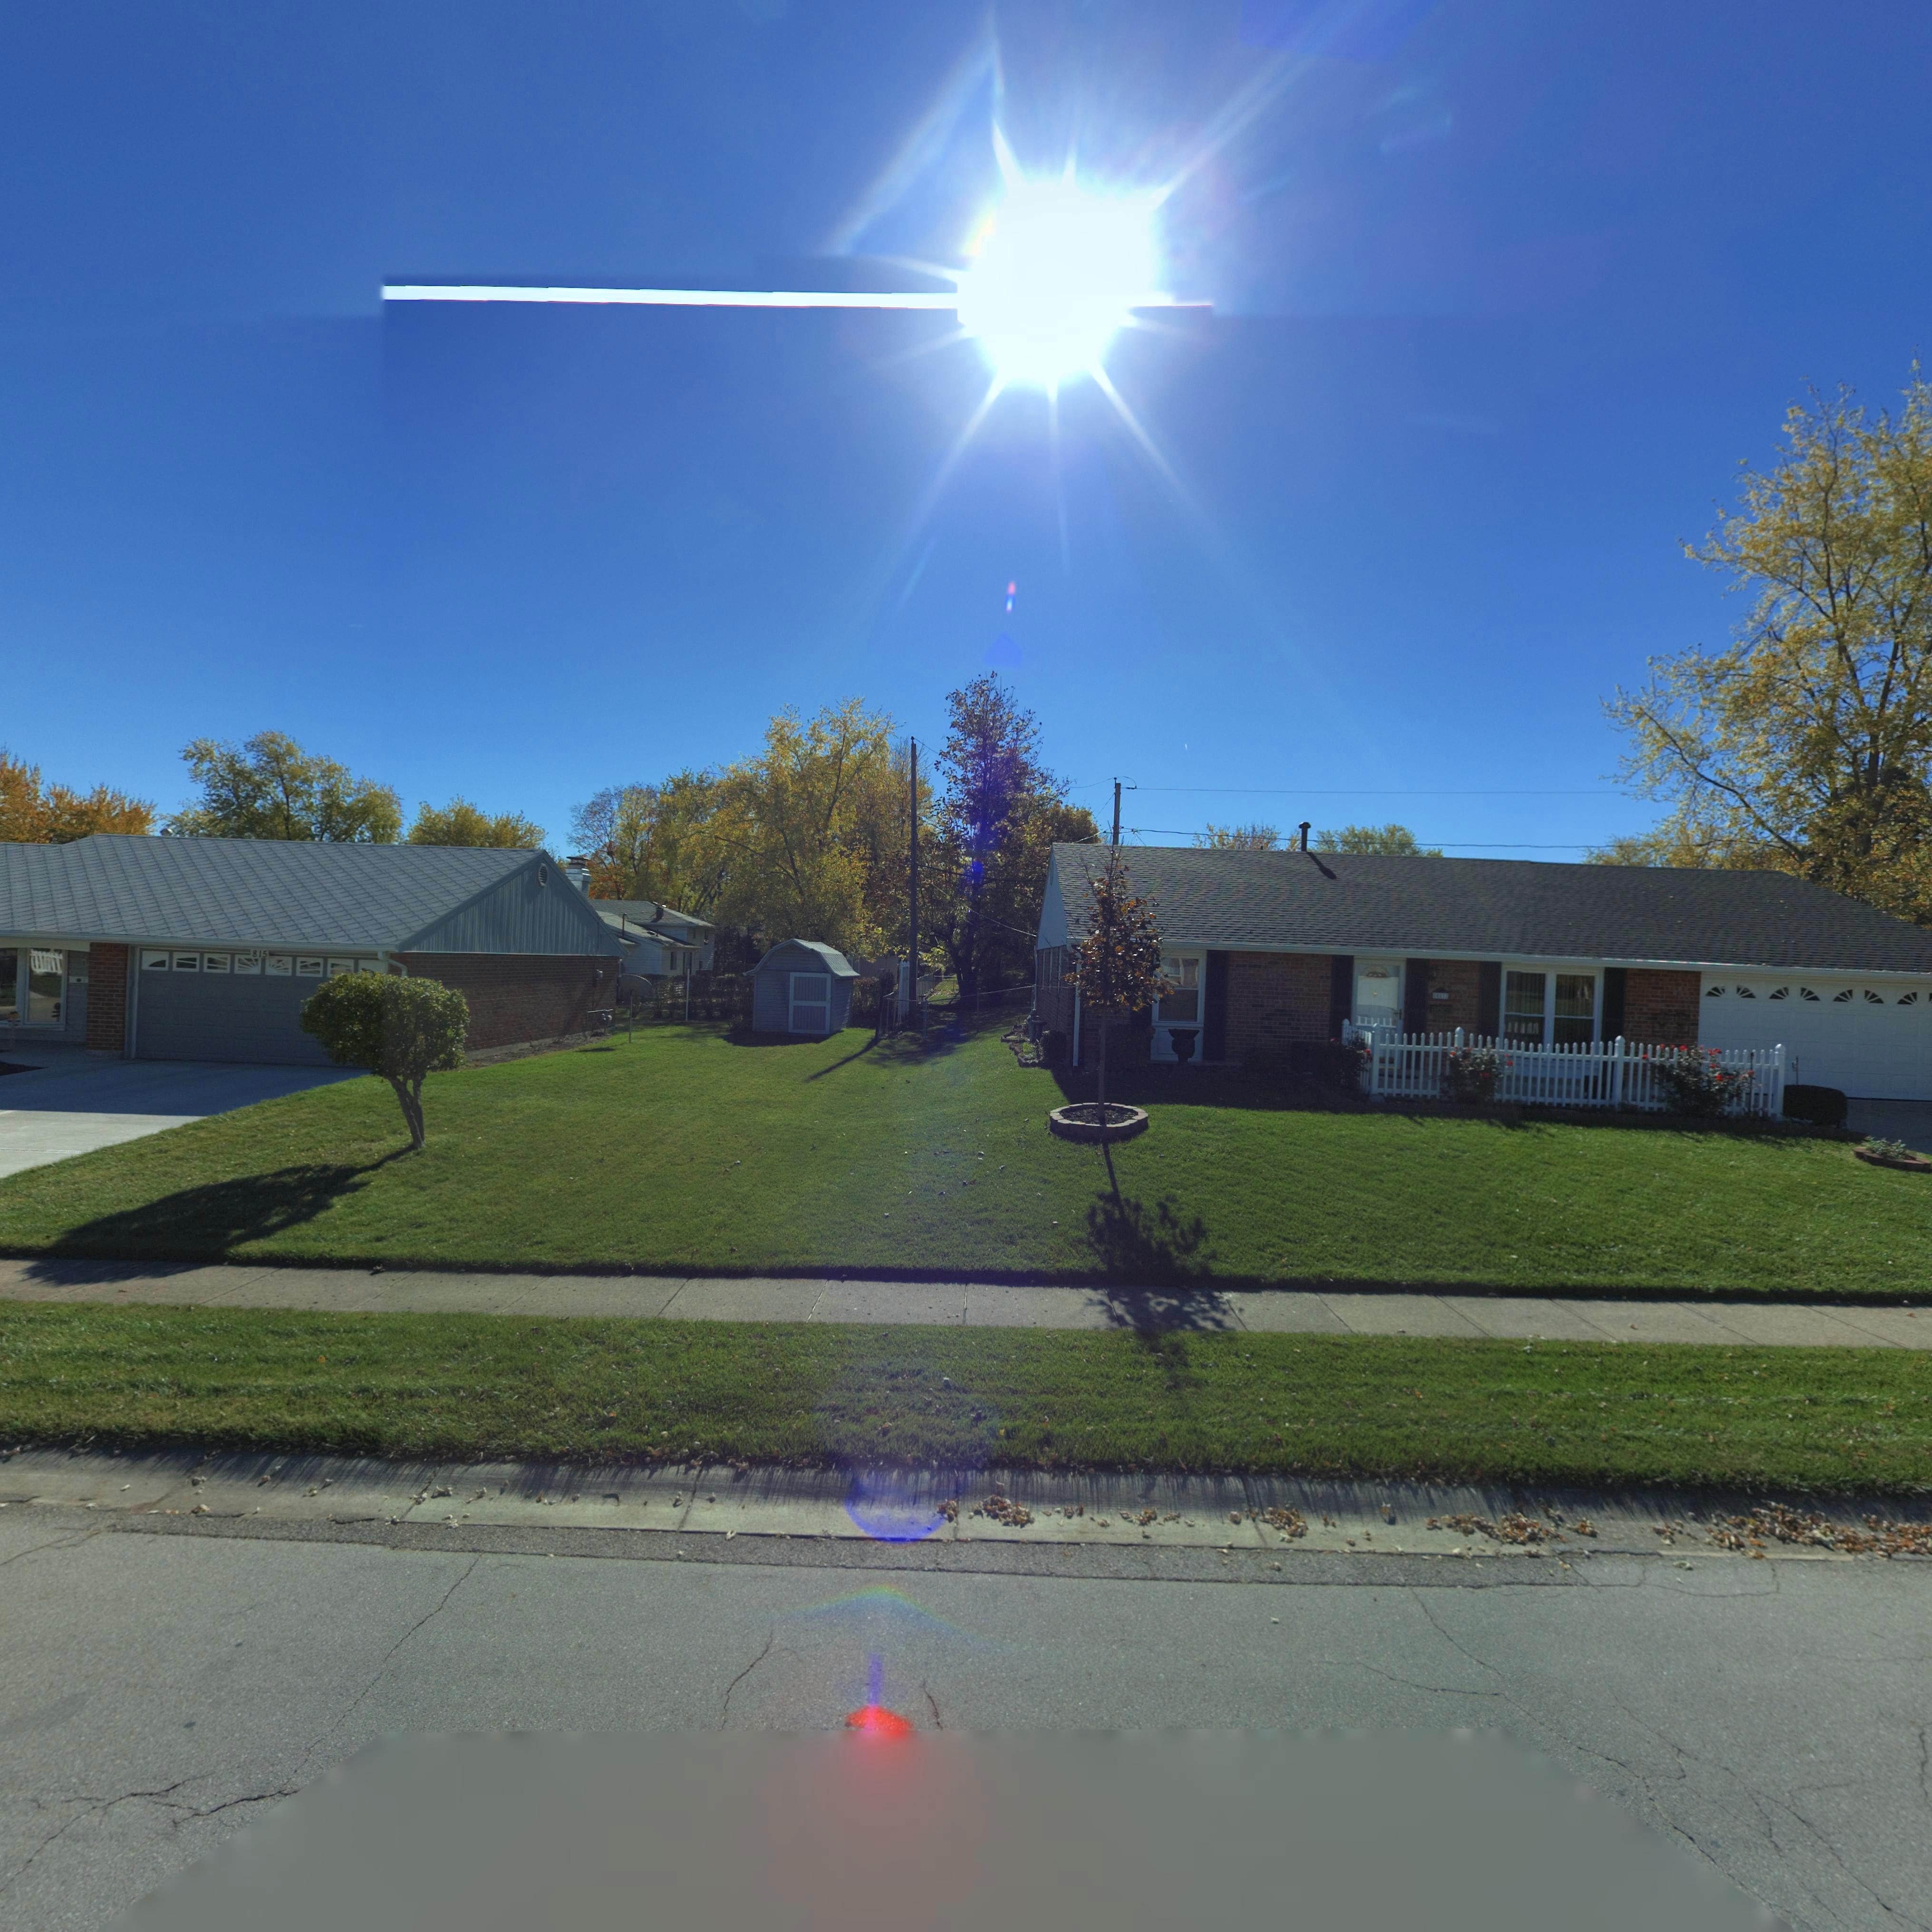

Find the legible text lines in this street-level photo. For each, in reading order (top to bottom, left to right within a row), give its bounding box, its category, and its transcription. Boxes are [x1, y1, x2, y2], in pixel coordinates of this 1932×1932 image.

[251, 949, 268, 958] StreetNumber: 815